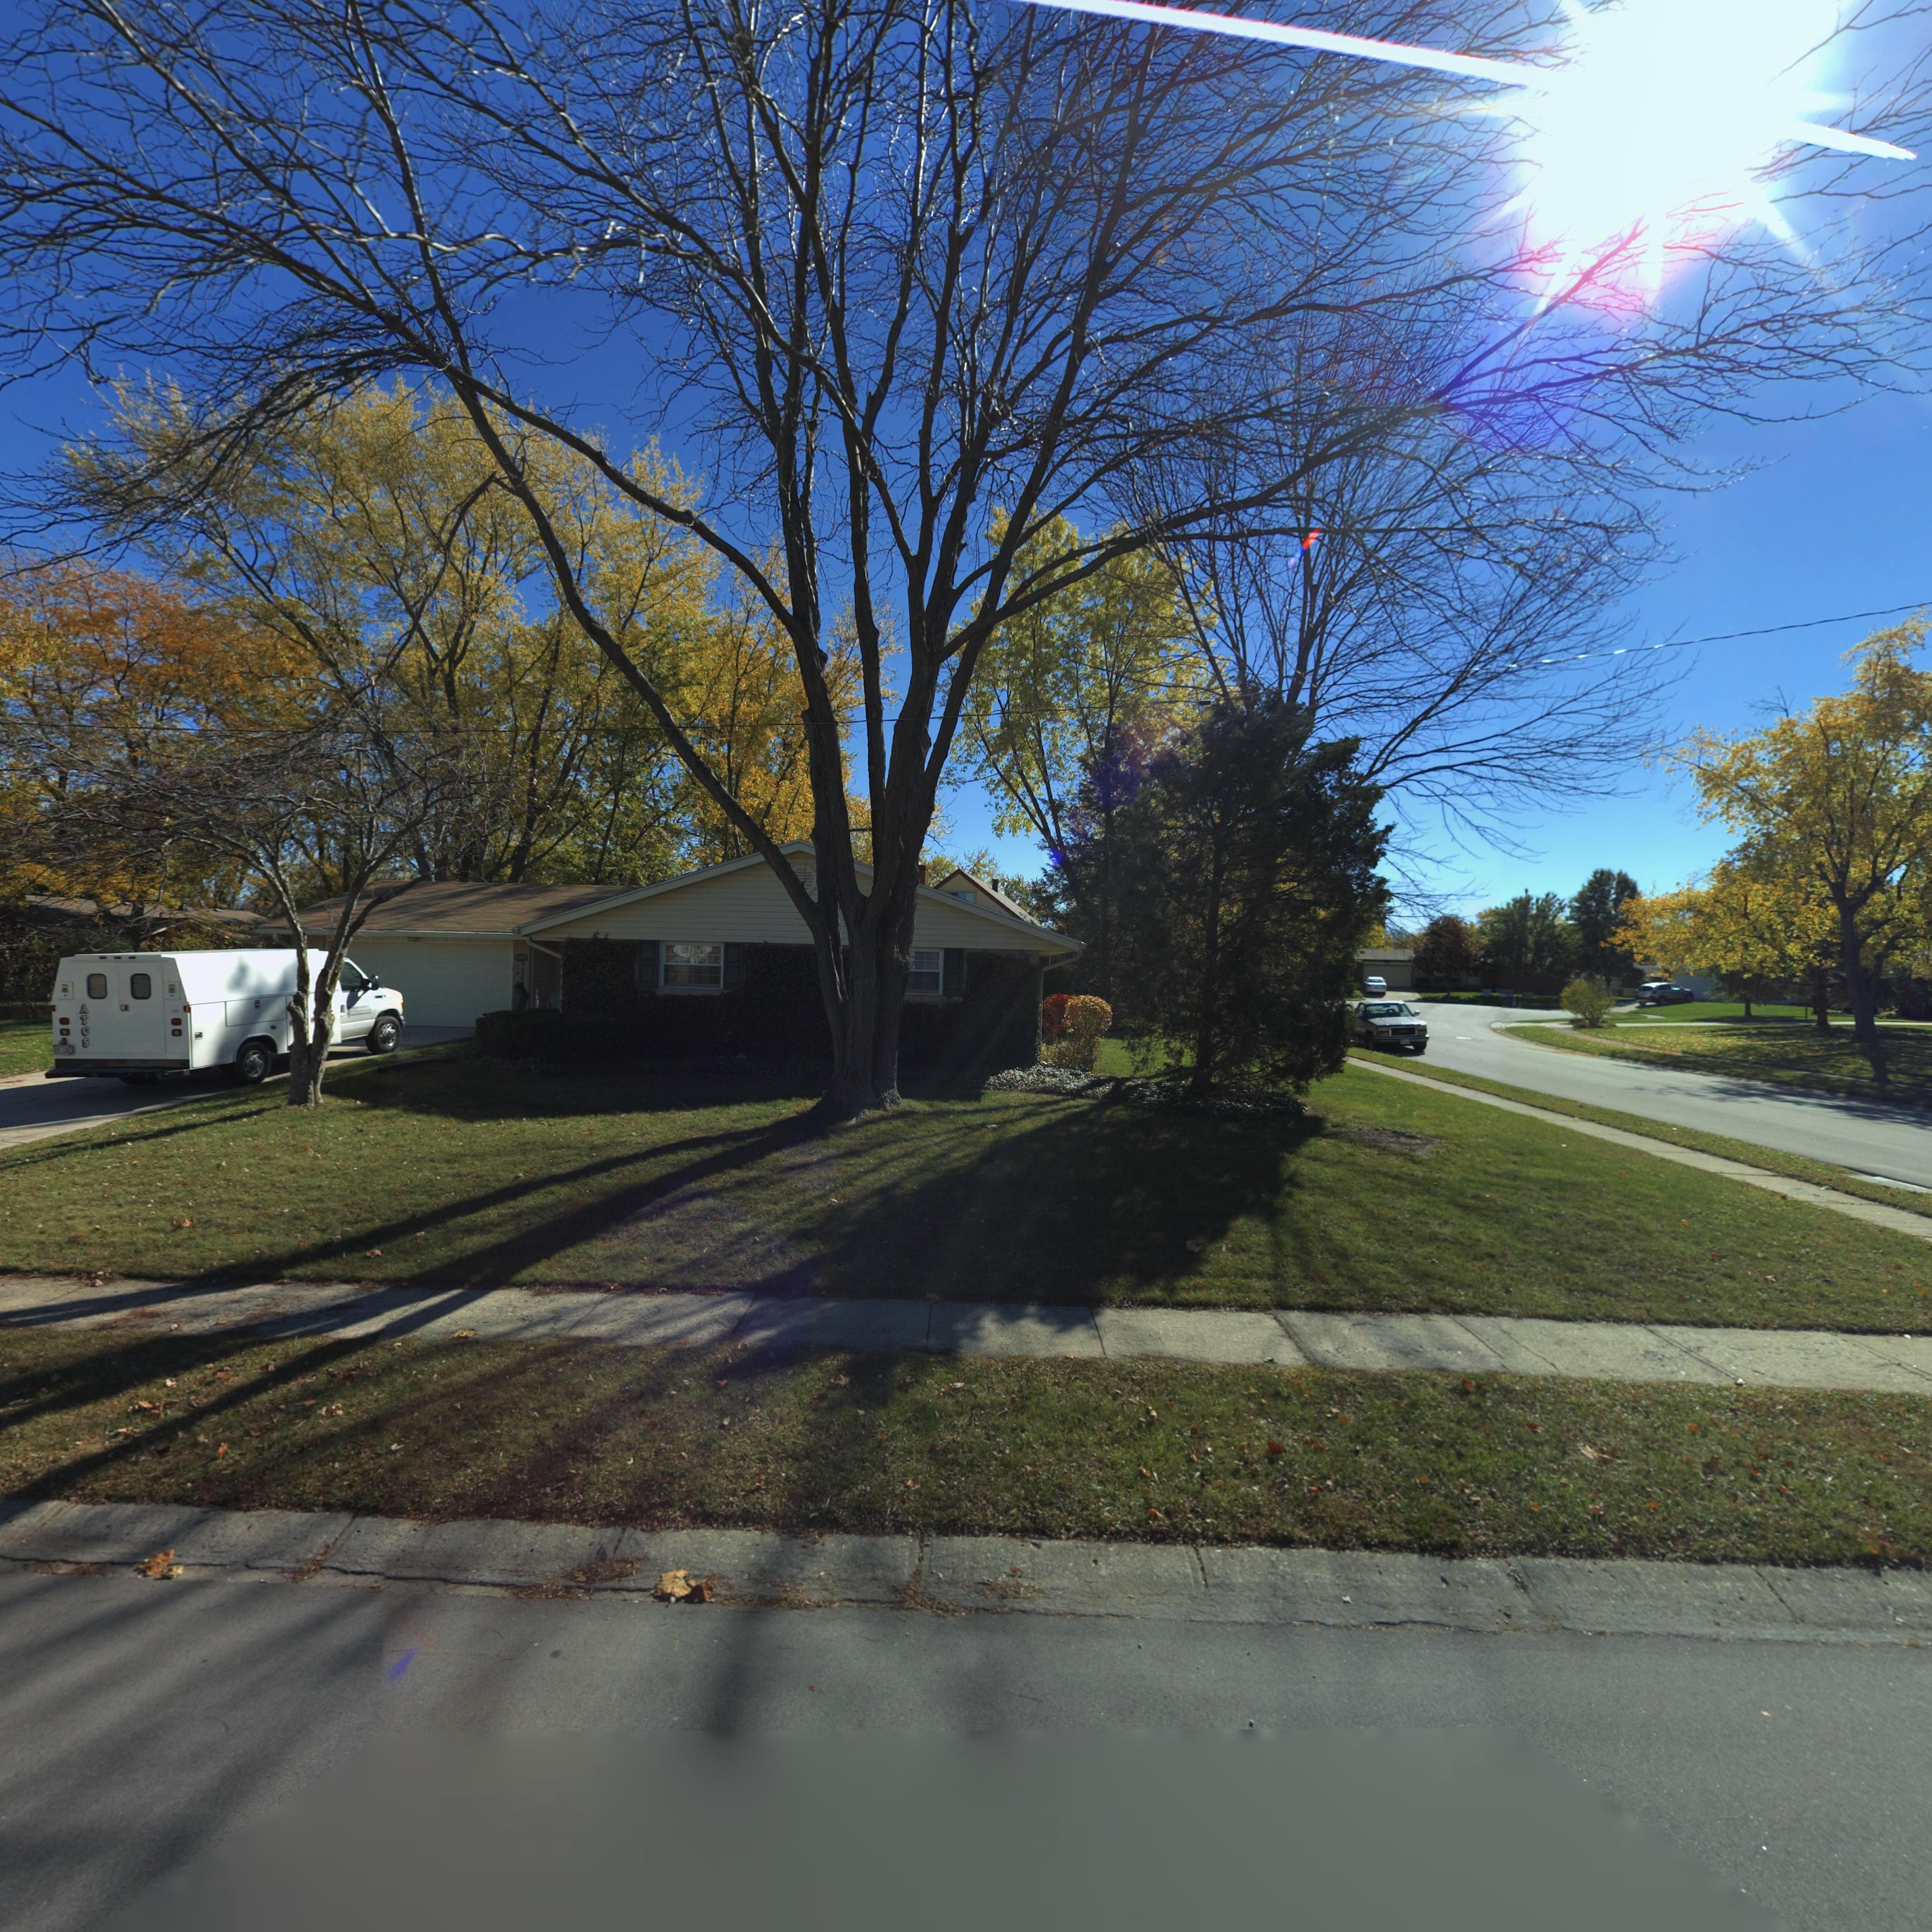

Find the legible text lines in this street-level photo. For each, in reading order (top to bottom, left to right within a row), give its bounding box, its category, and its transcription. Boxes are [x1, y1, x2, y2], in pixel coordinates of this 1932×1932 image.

[514, 954, 527, 961] StreetNumber: 1002